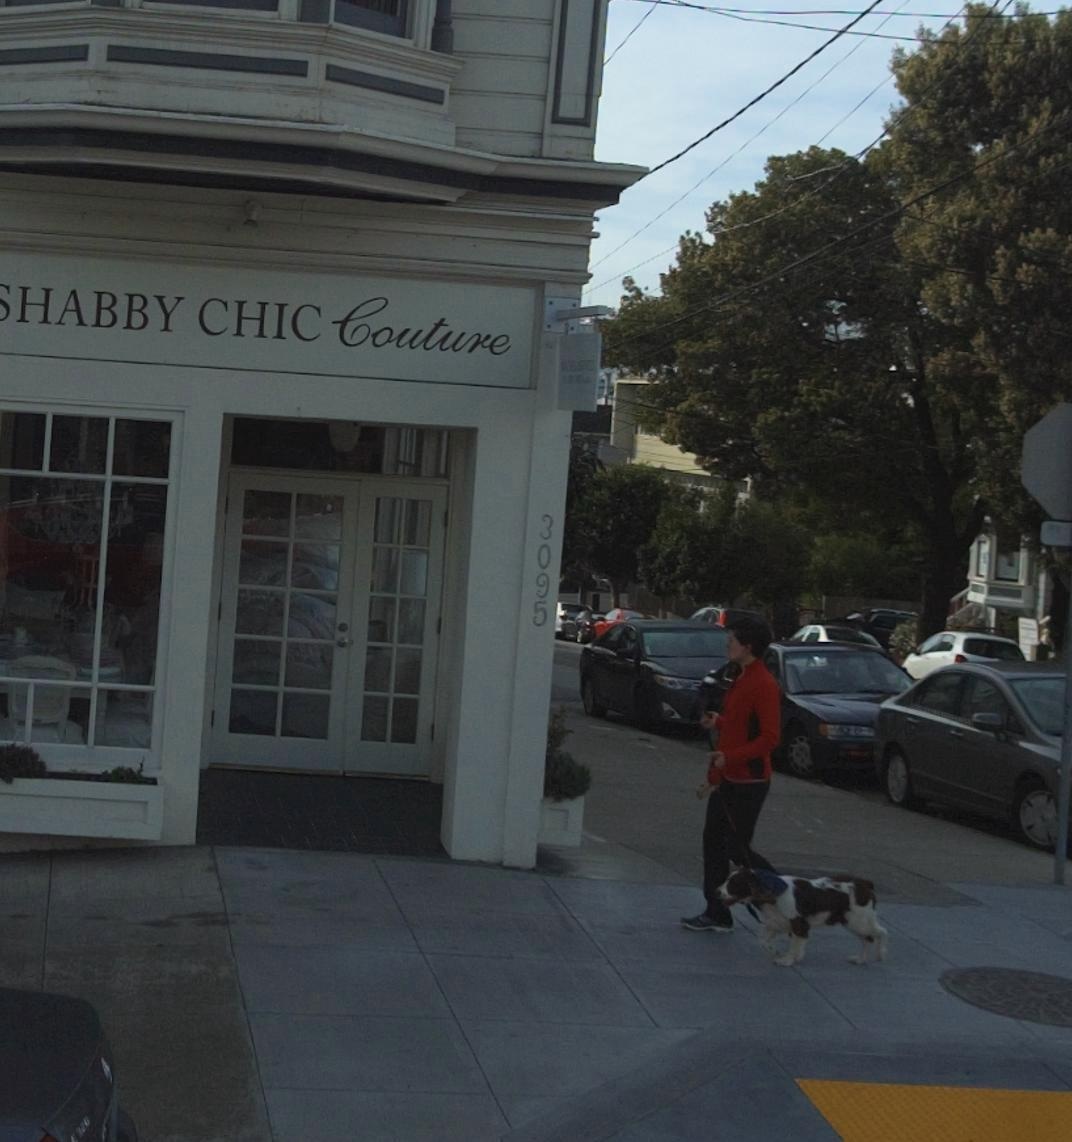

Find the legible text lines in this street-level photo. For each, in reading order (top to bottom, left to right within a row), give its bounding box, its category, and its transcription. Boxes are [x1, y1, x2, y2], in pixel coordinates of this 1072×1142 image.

[12, 280, 516, 360] BusinessName: HABBY CHIC Couture
[529, 511, 556, 631] StreetNumber: 3095